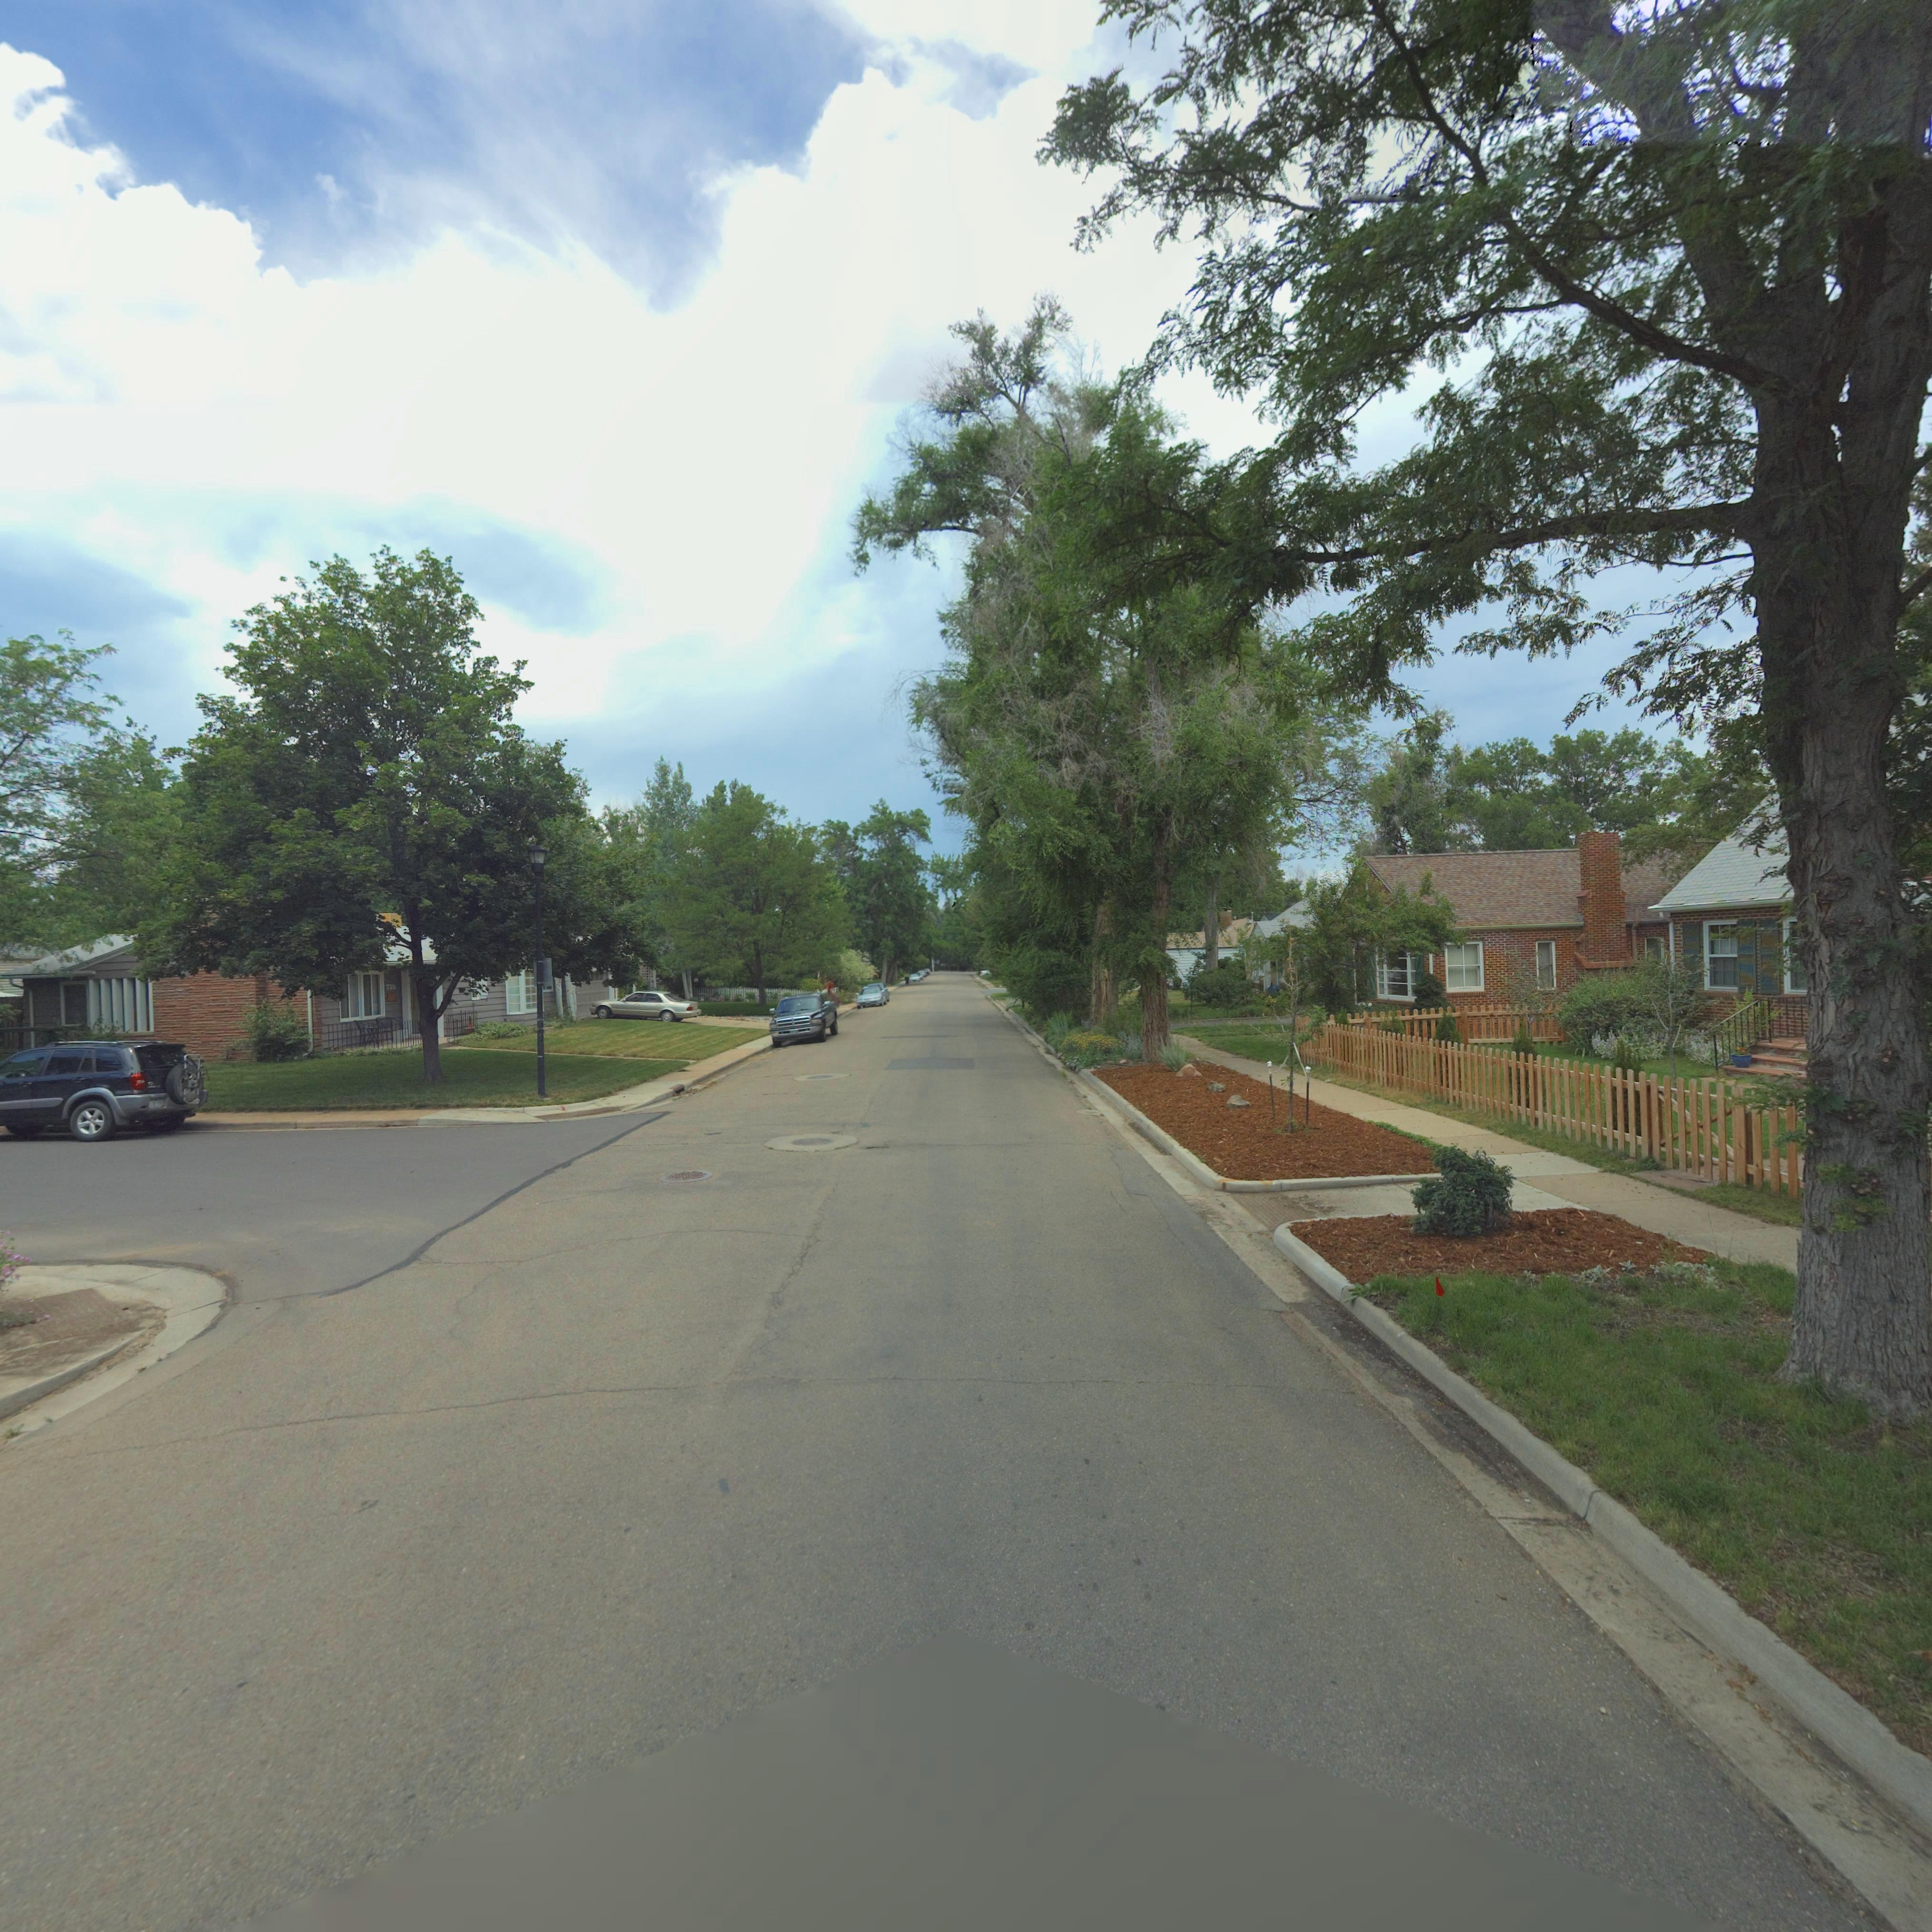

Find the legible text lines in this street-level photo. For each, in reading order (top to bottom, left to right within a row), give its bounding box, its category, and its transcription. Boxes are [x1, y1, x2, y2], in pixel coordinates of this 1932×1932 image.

[385, 983, 396, 990] StreetNumber: 726